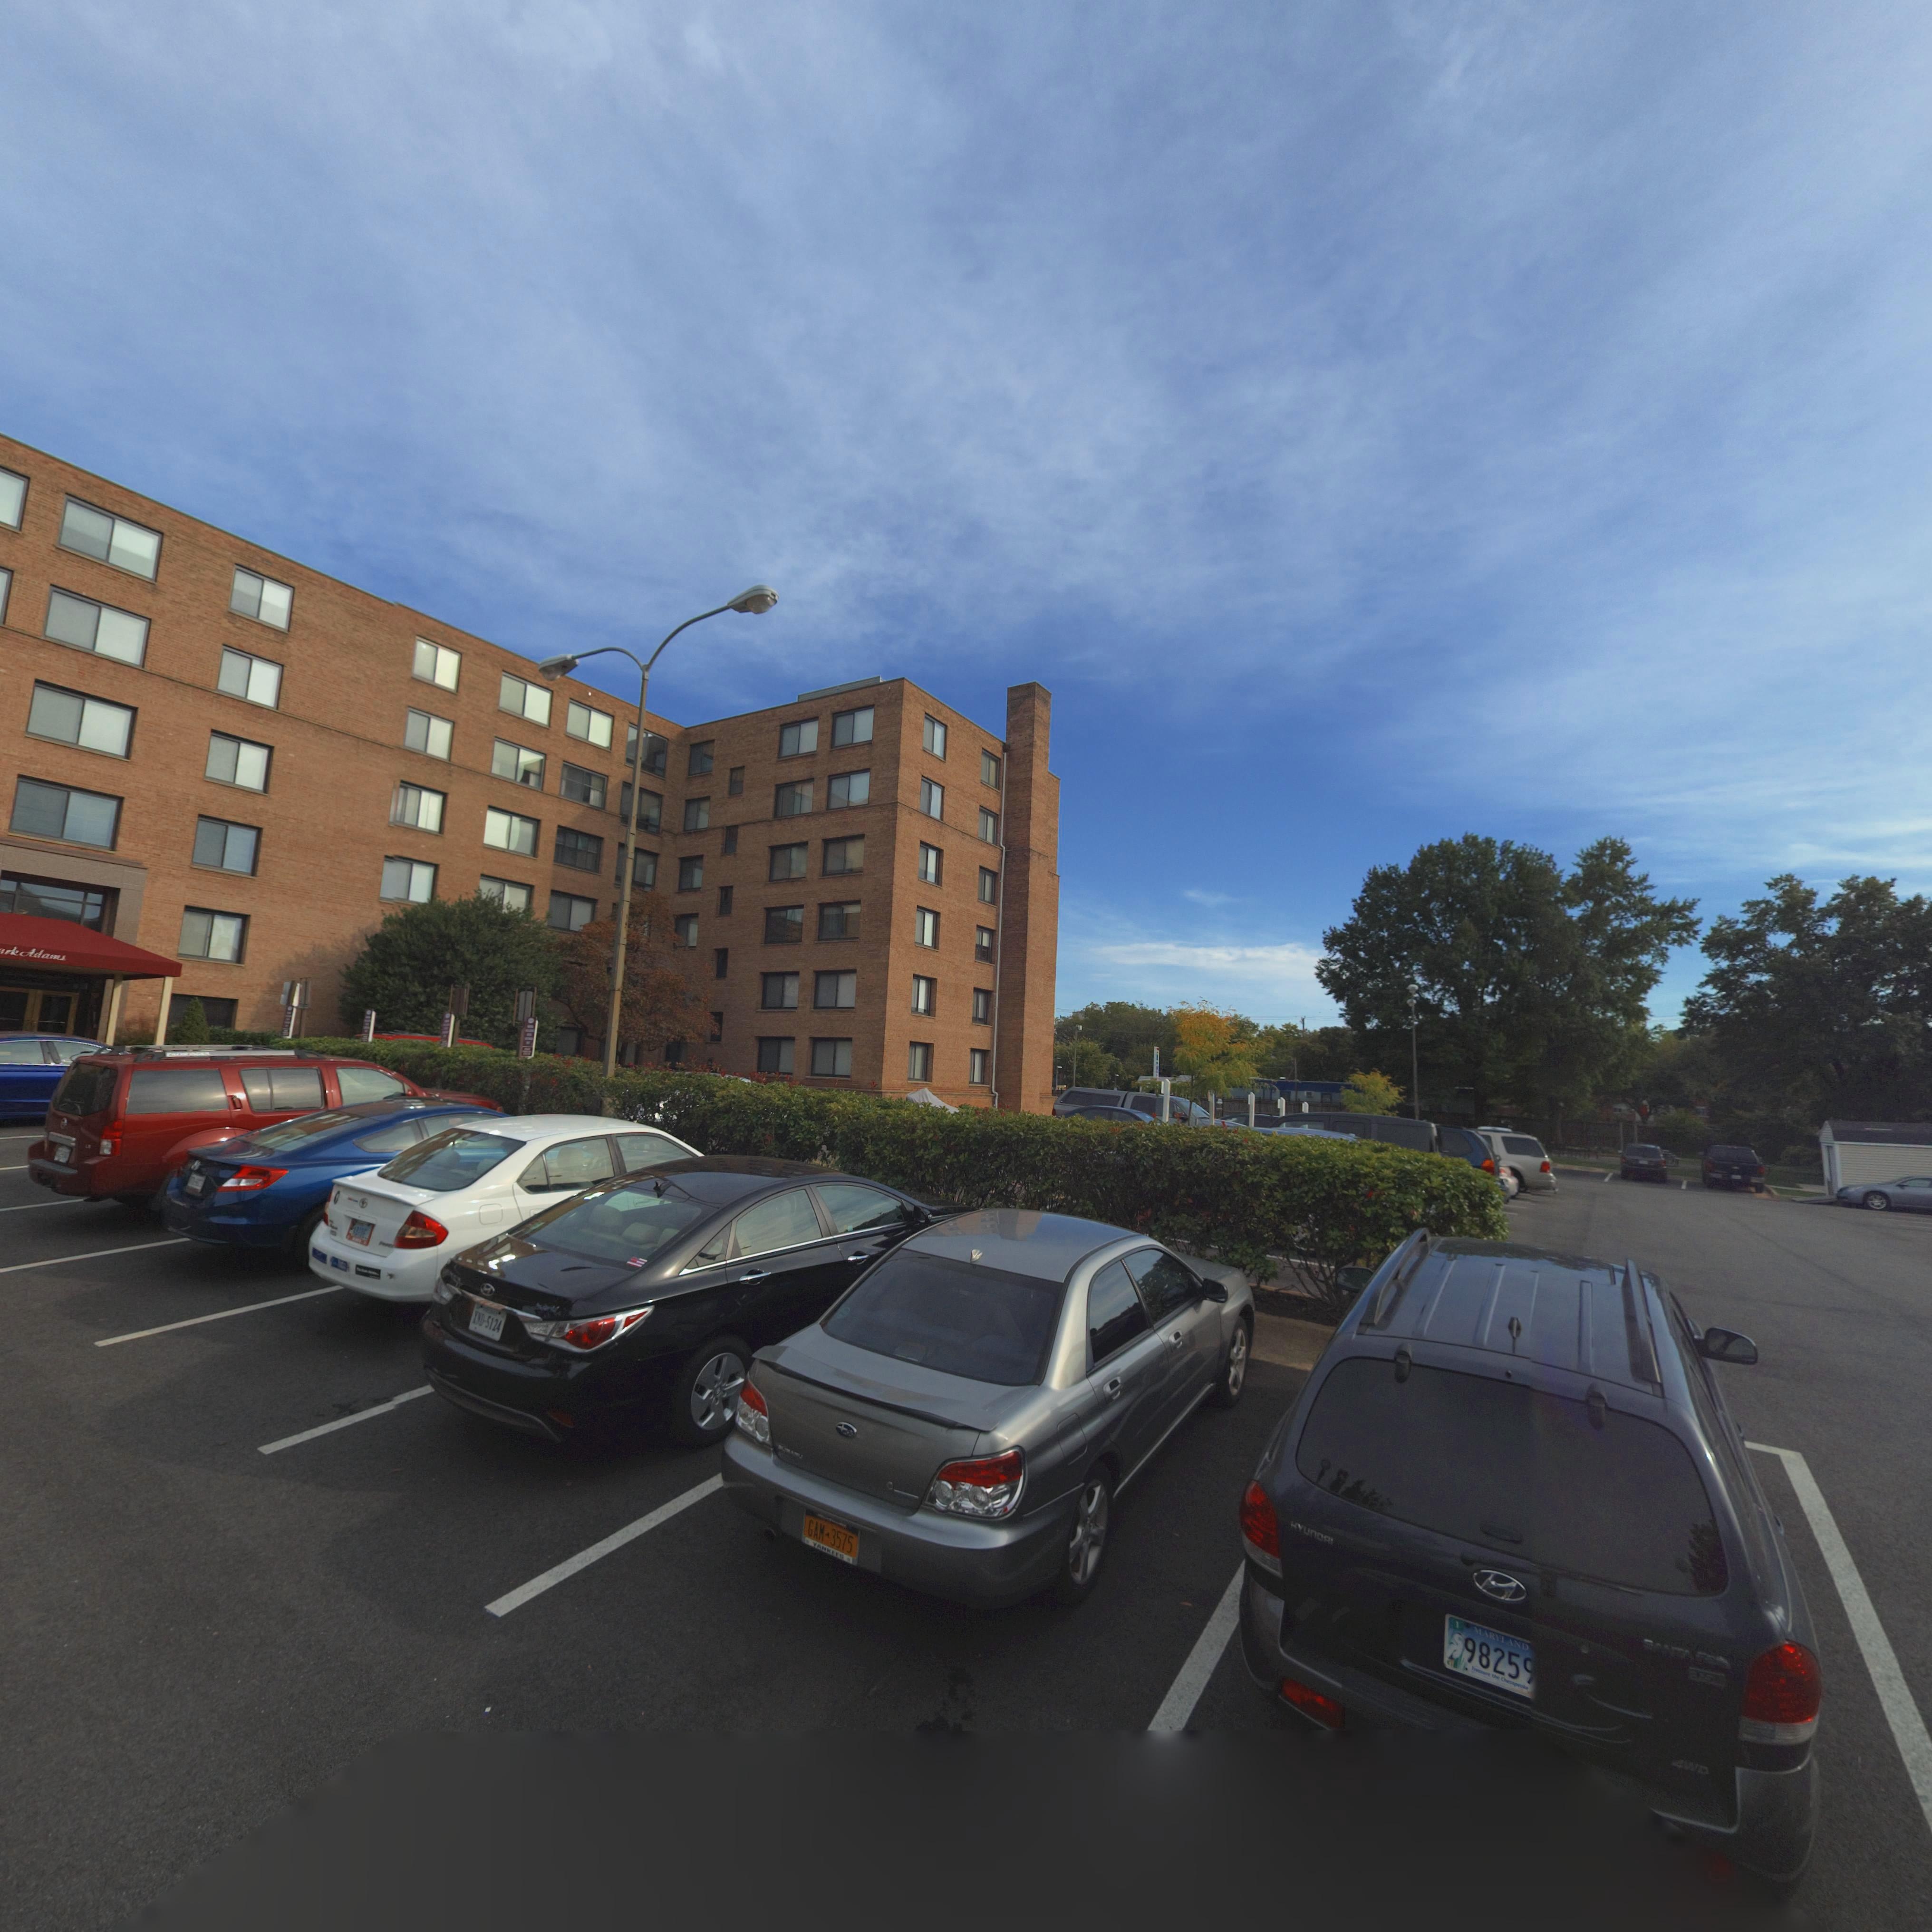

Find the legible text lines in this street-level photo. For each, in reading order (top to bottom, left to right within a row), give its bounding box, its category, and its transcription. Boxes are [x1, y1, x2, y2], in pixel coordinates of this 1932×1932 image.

[1, 945, 68, 962] BusinessName: rk Ada*s
[470, 1308, 505, 1334] None: XND-5124
[806, 1516, 856, 1555] None: GAM*3575
[1288, 1518, 1335, 1549] None: HYUNDAI
[811, 1541, 845, 1561] None: YANKEES
[1472, 1624, 1531, 1652] None: MARYLAND
[1461, 1635, 1524, 1683] None: 9825
[1670, 1756, 1712, 1778] None: 4WD